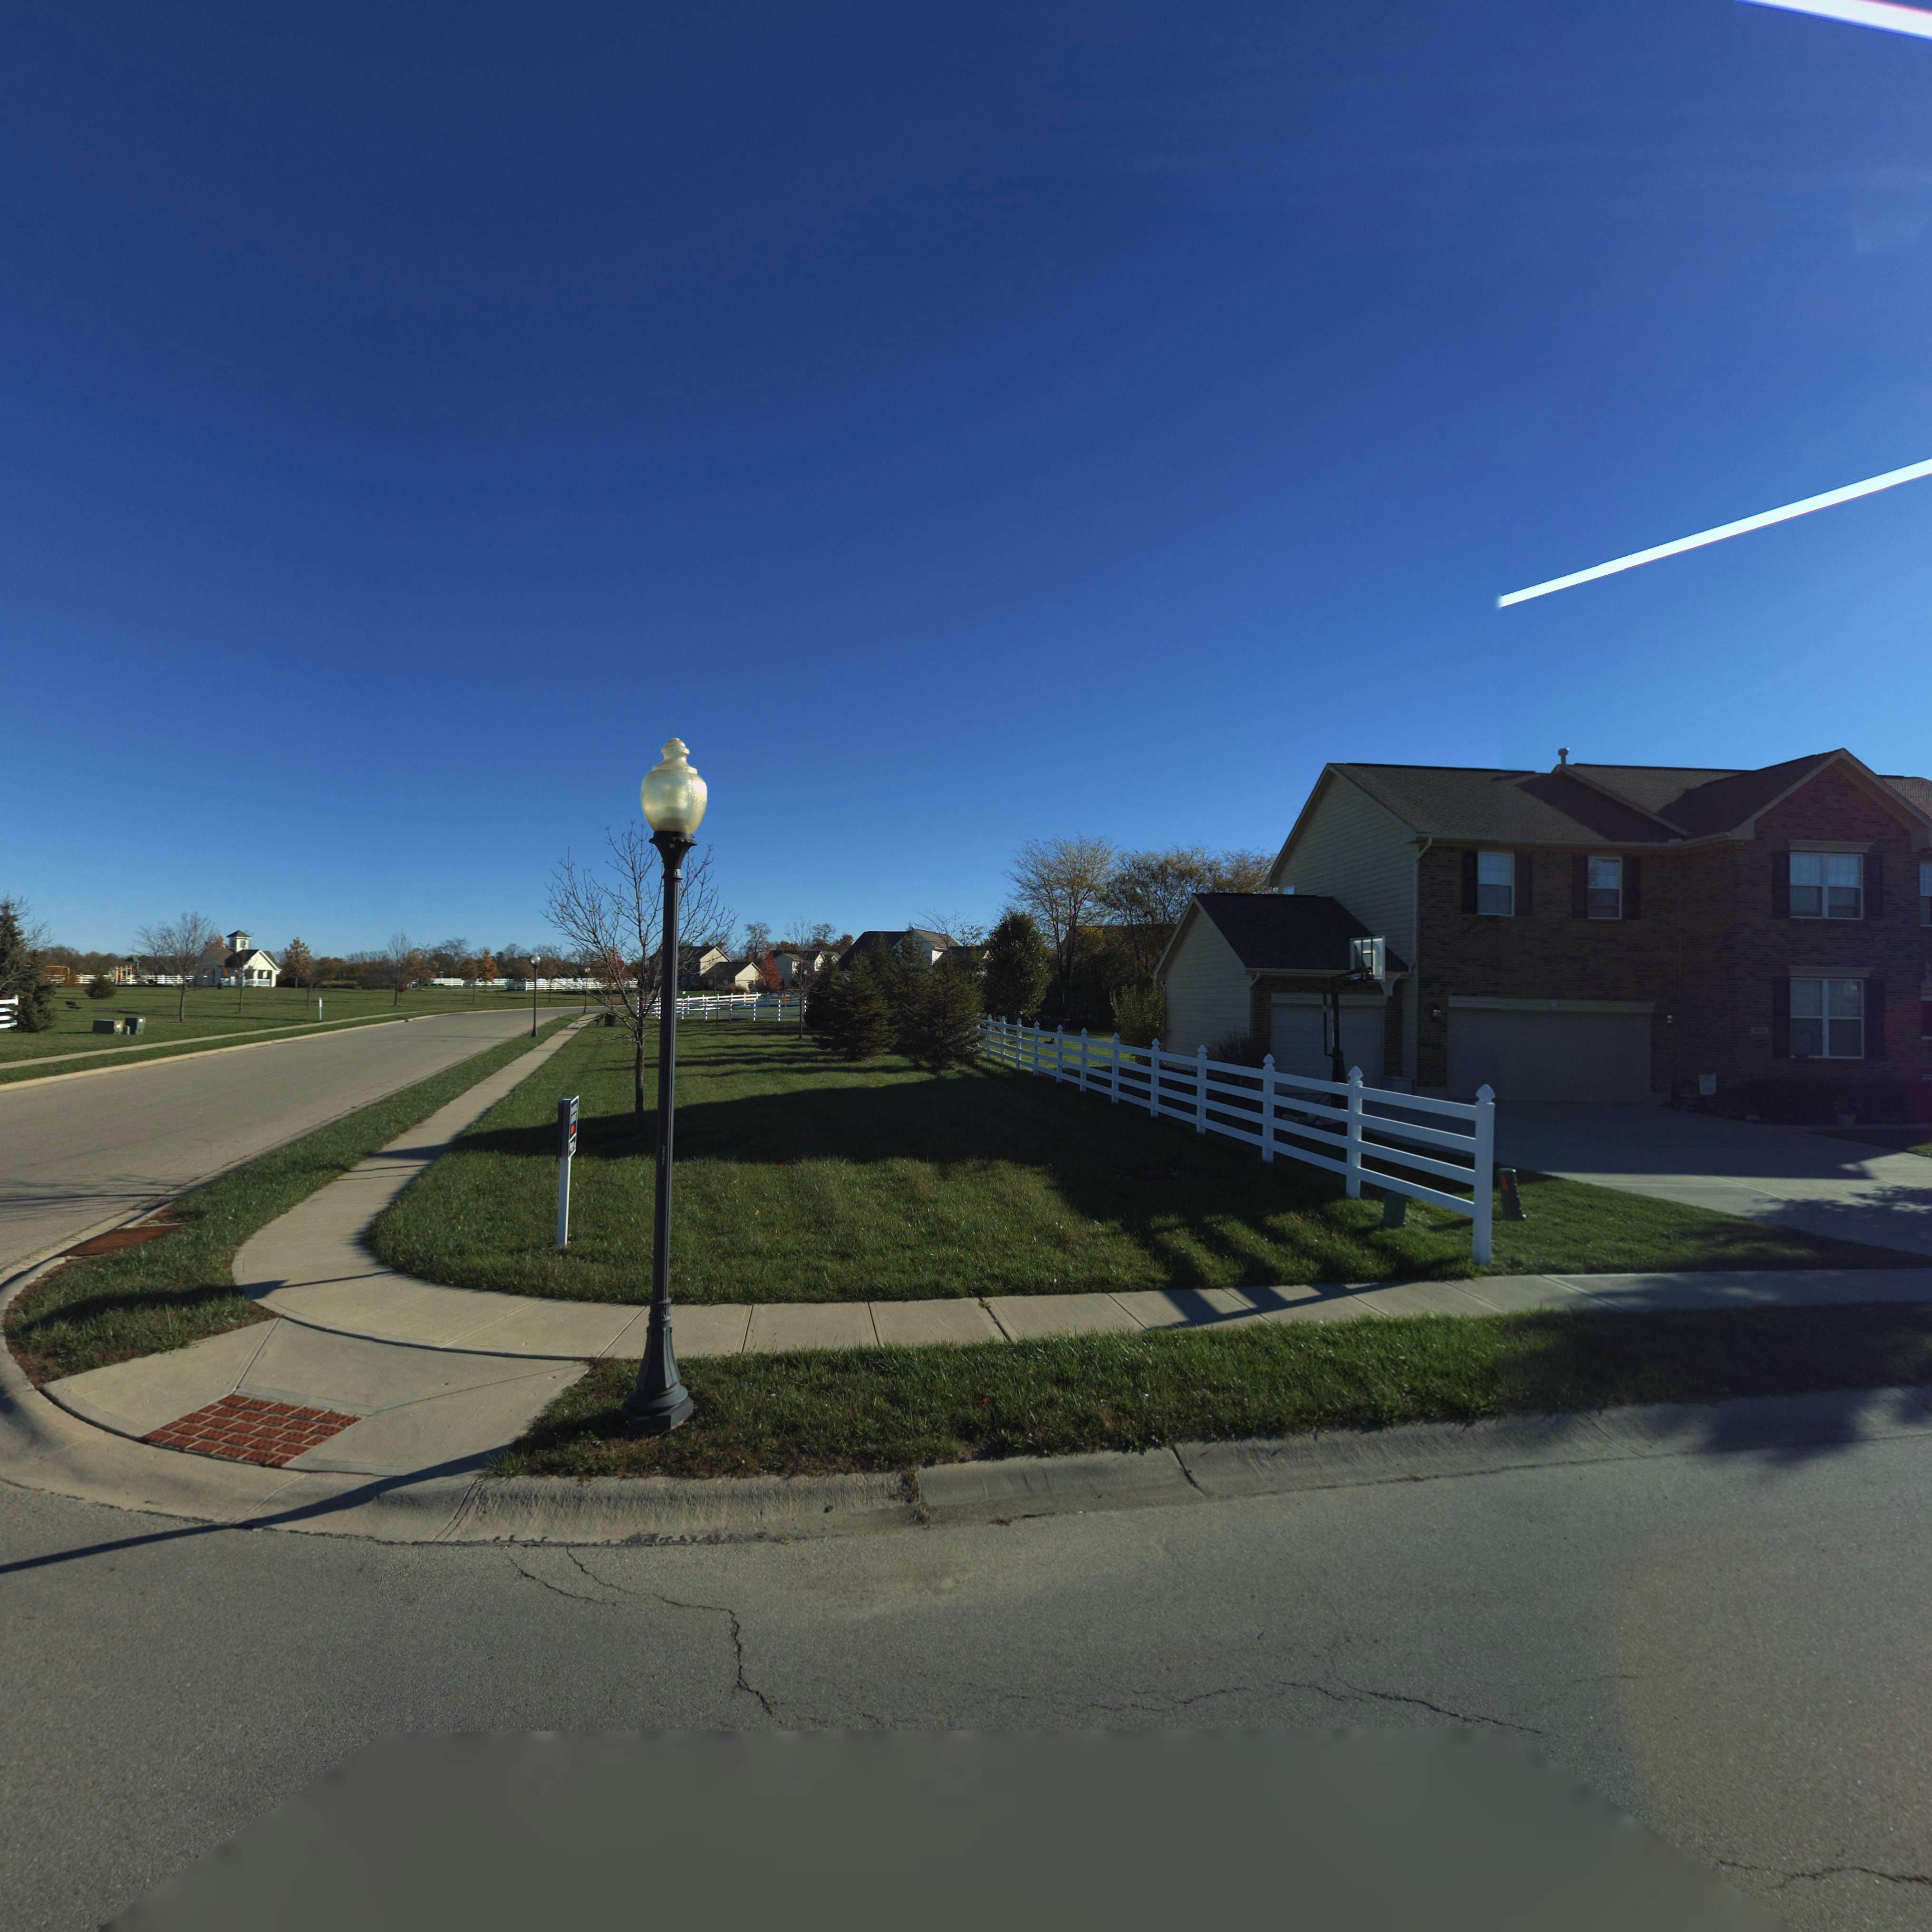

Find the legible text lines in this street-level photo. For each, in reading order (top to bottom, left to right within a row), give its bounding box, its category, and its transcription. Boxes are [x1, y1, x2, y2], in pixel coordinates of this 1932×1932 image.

[1752, 1027, 1766, 1033] StreetNumber: 205